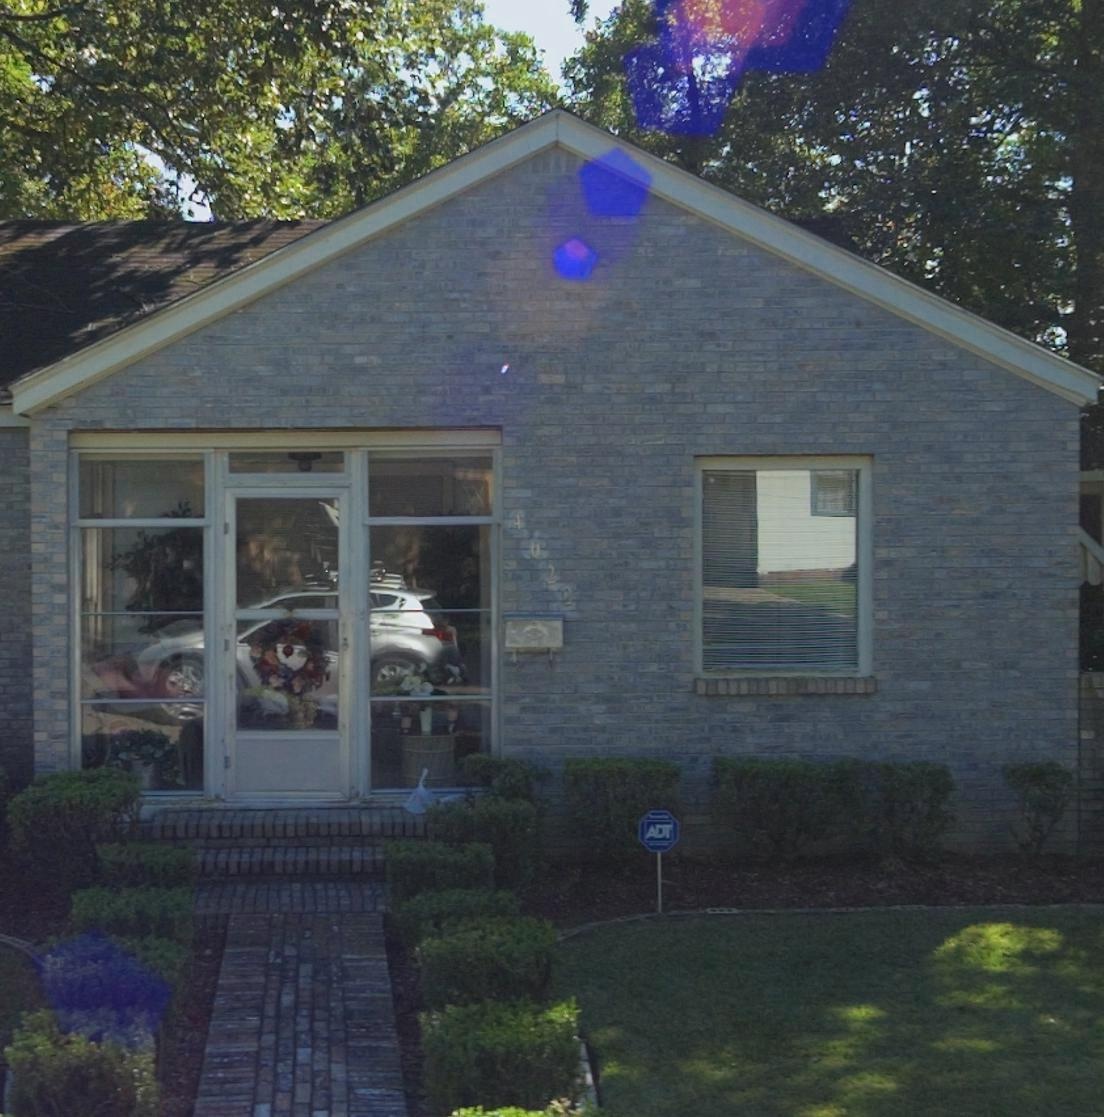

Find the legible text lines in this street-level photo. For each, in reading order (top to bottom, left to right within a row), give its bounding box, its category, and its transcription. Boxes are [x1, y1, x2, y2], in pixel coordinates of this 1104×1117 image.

[511, 505, 580, 612] StreetNumber: 4022
[642, 822, 674, 840] None: ADT